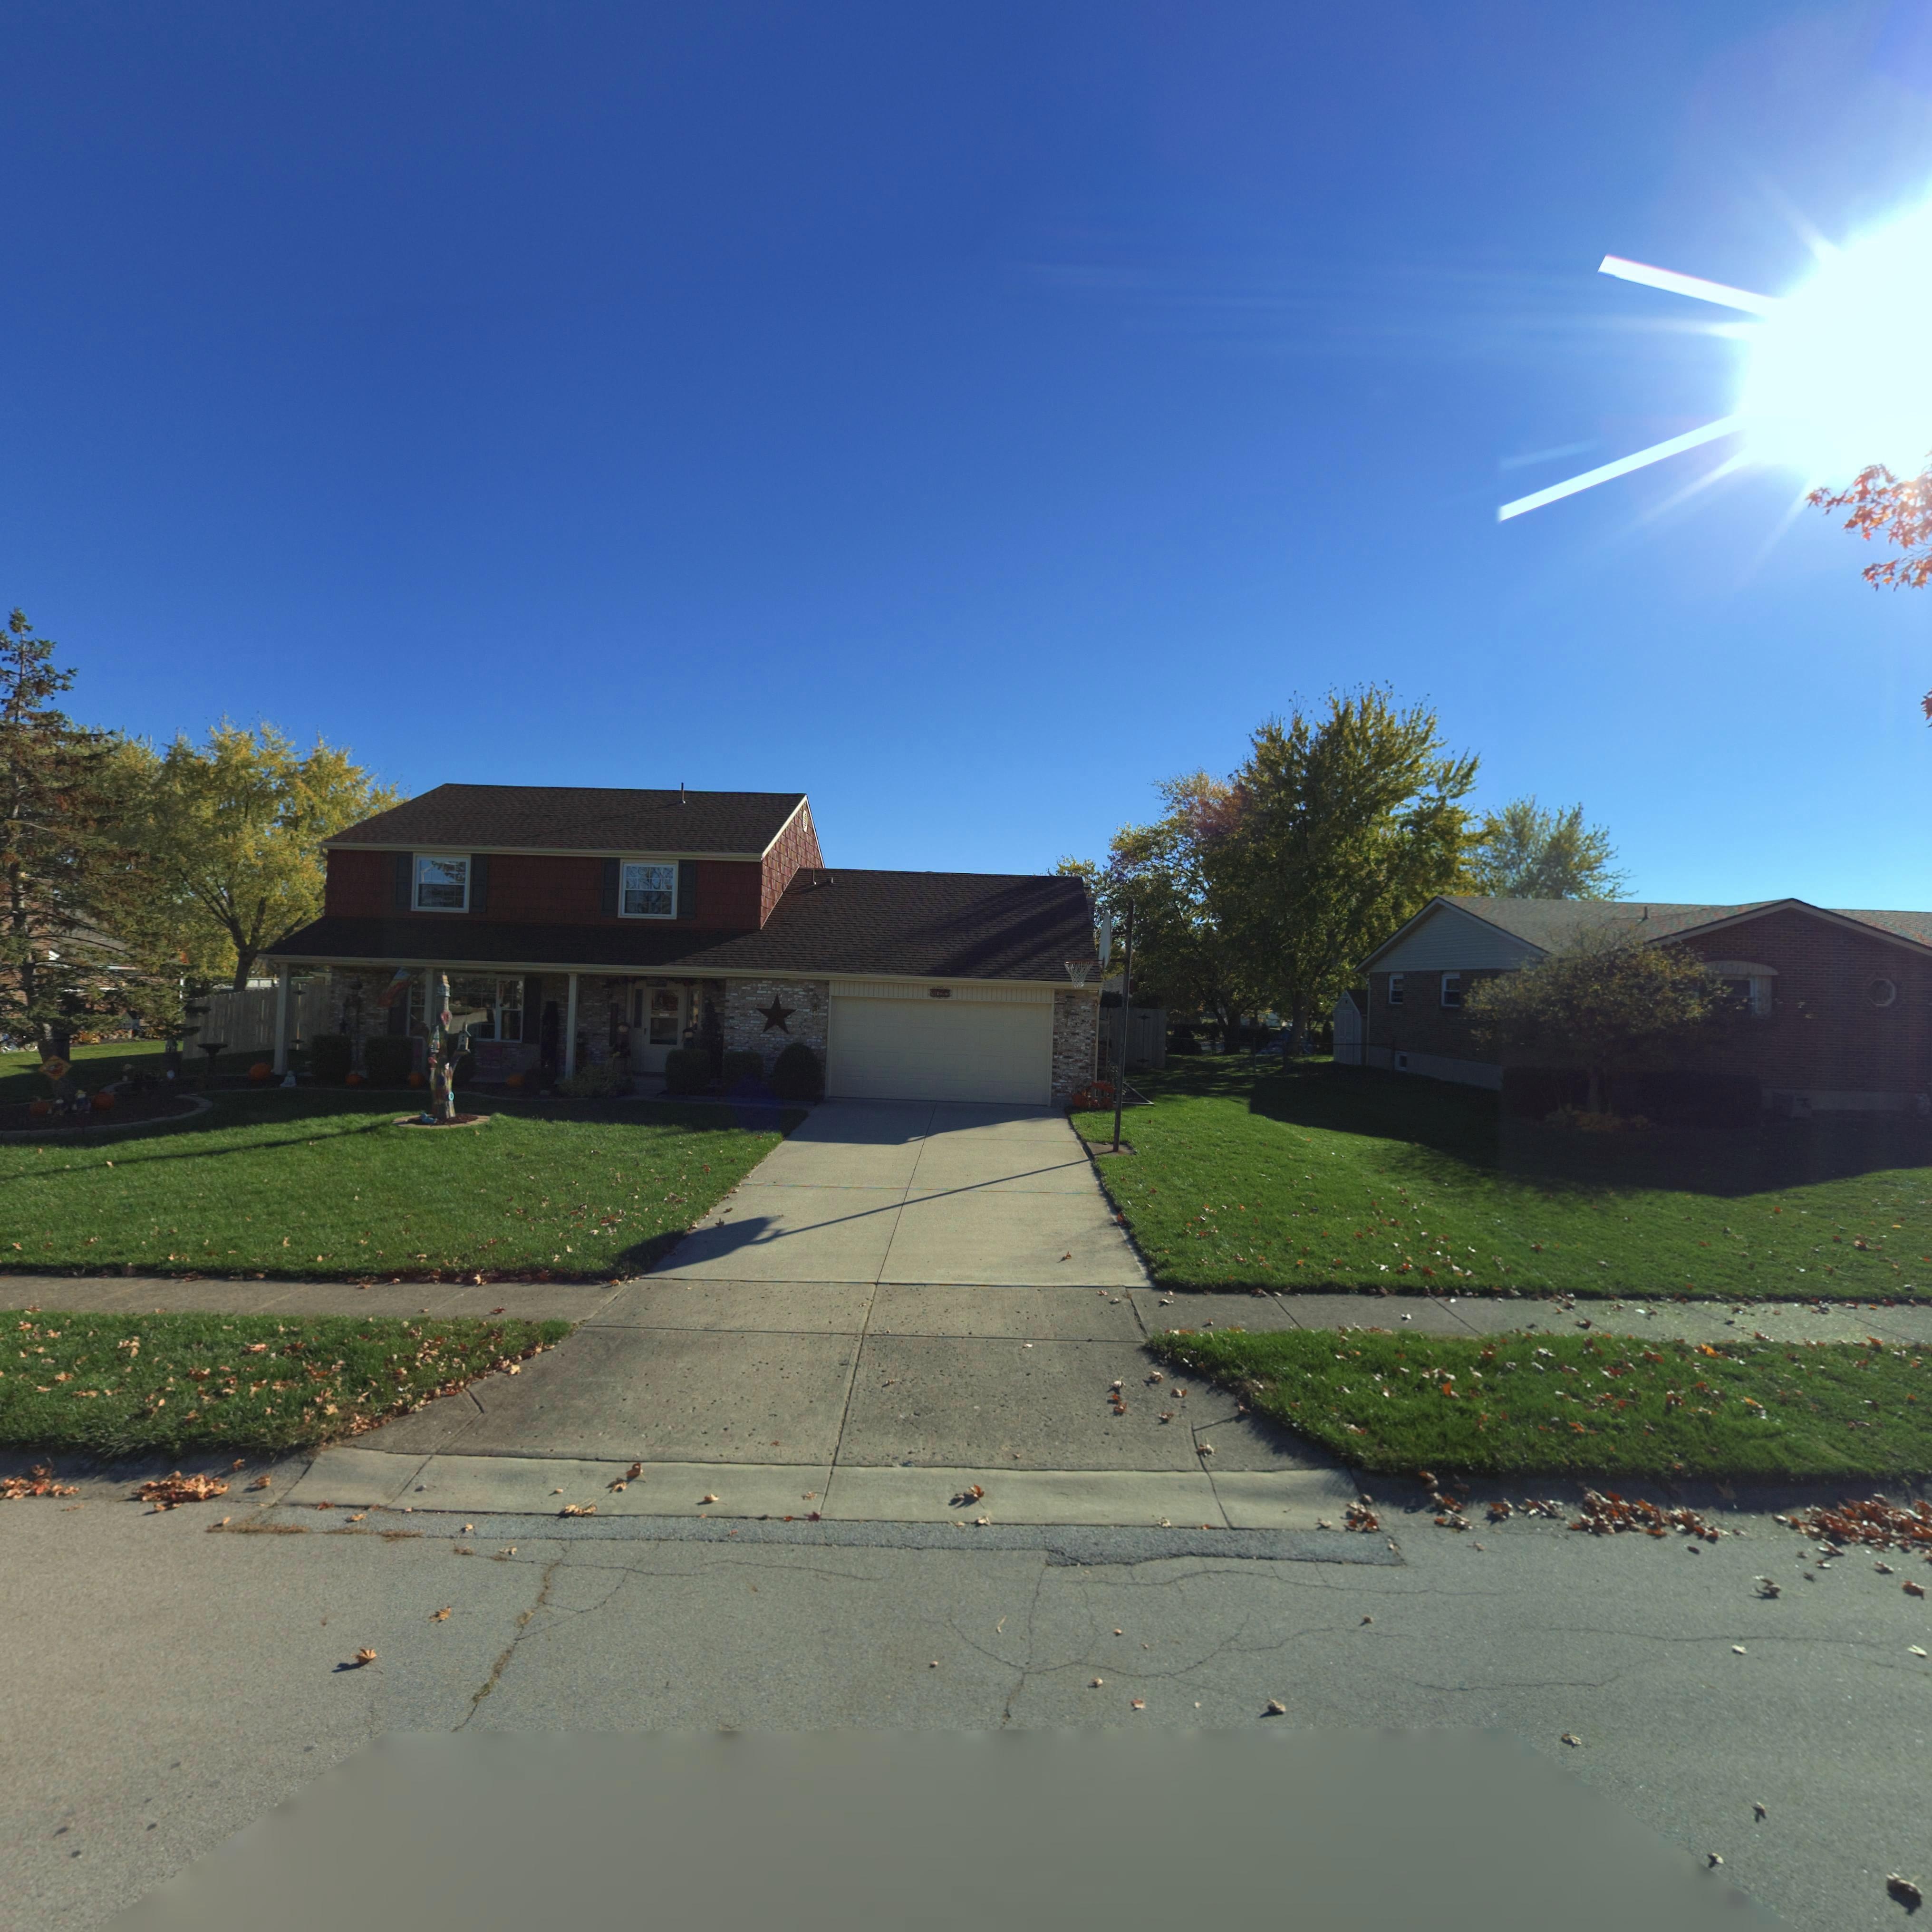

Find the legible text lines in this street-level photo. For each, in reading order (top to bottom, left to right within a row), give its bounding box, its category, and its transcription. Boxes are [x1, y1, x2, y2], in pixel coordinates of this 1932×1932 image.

[931, 989, 950, 996] StreetNumber: 4622